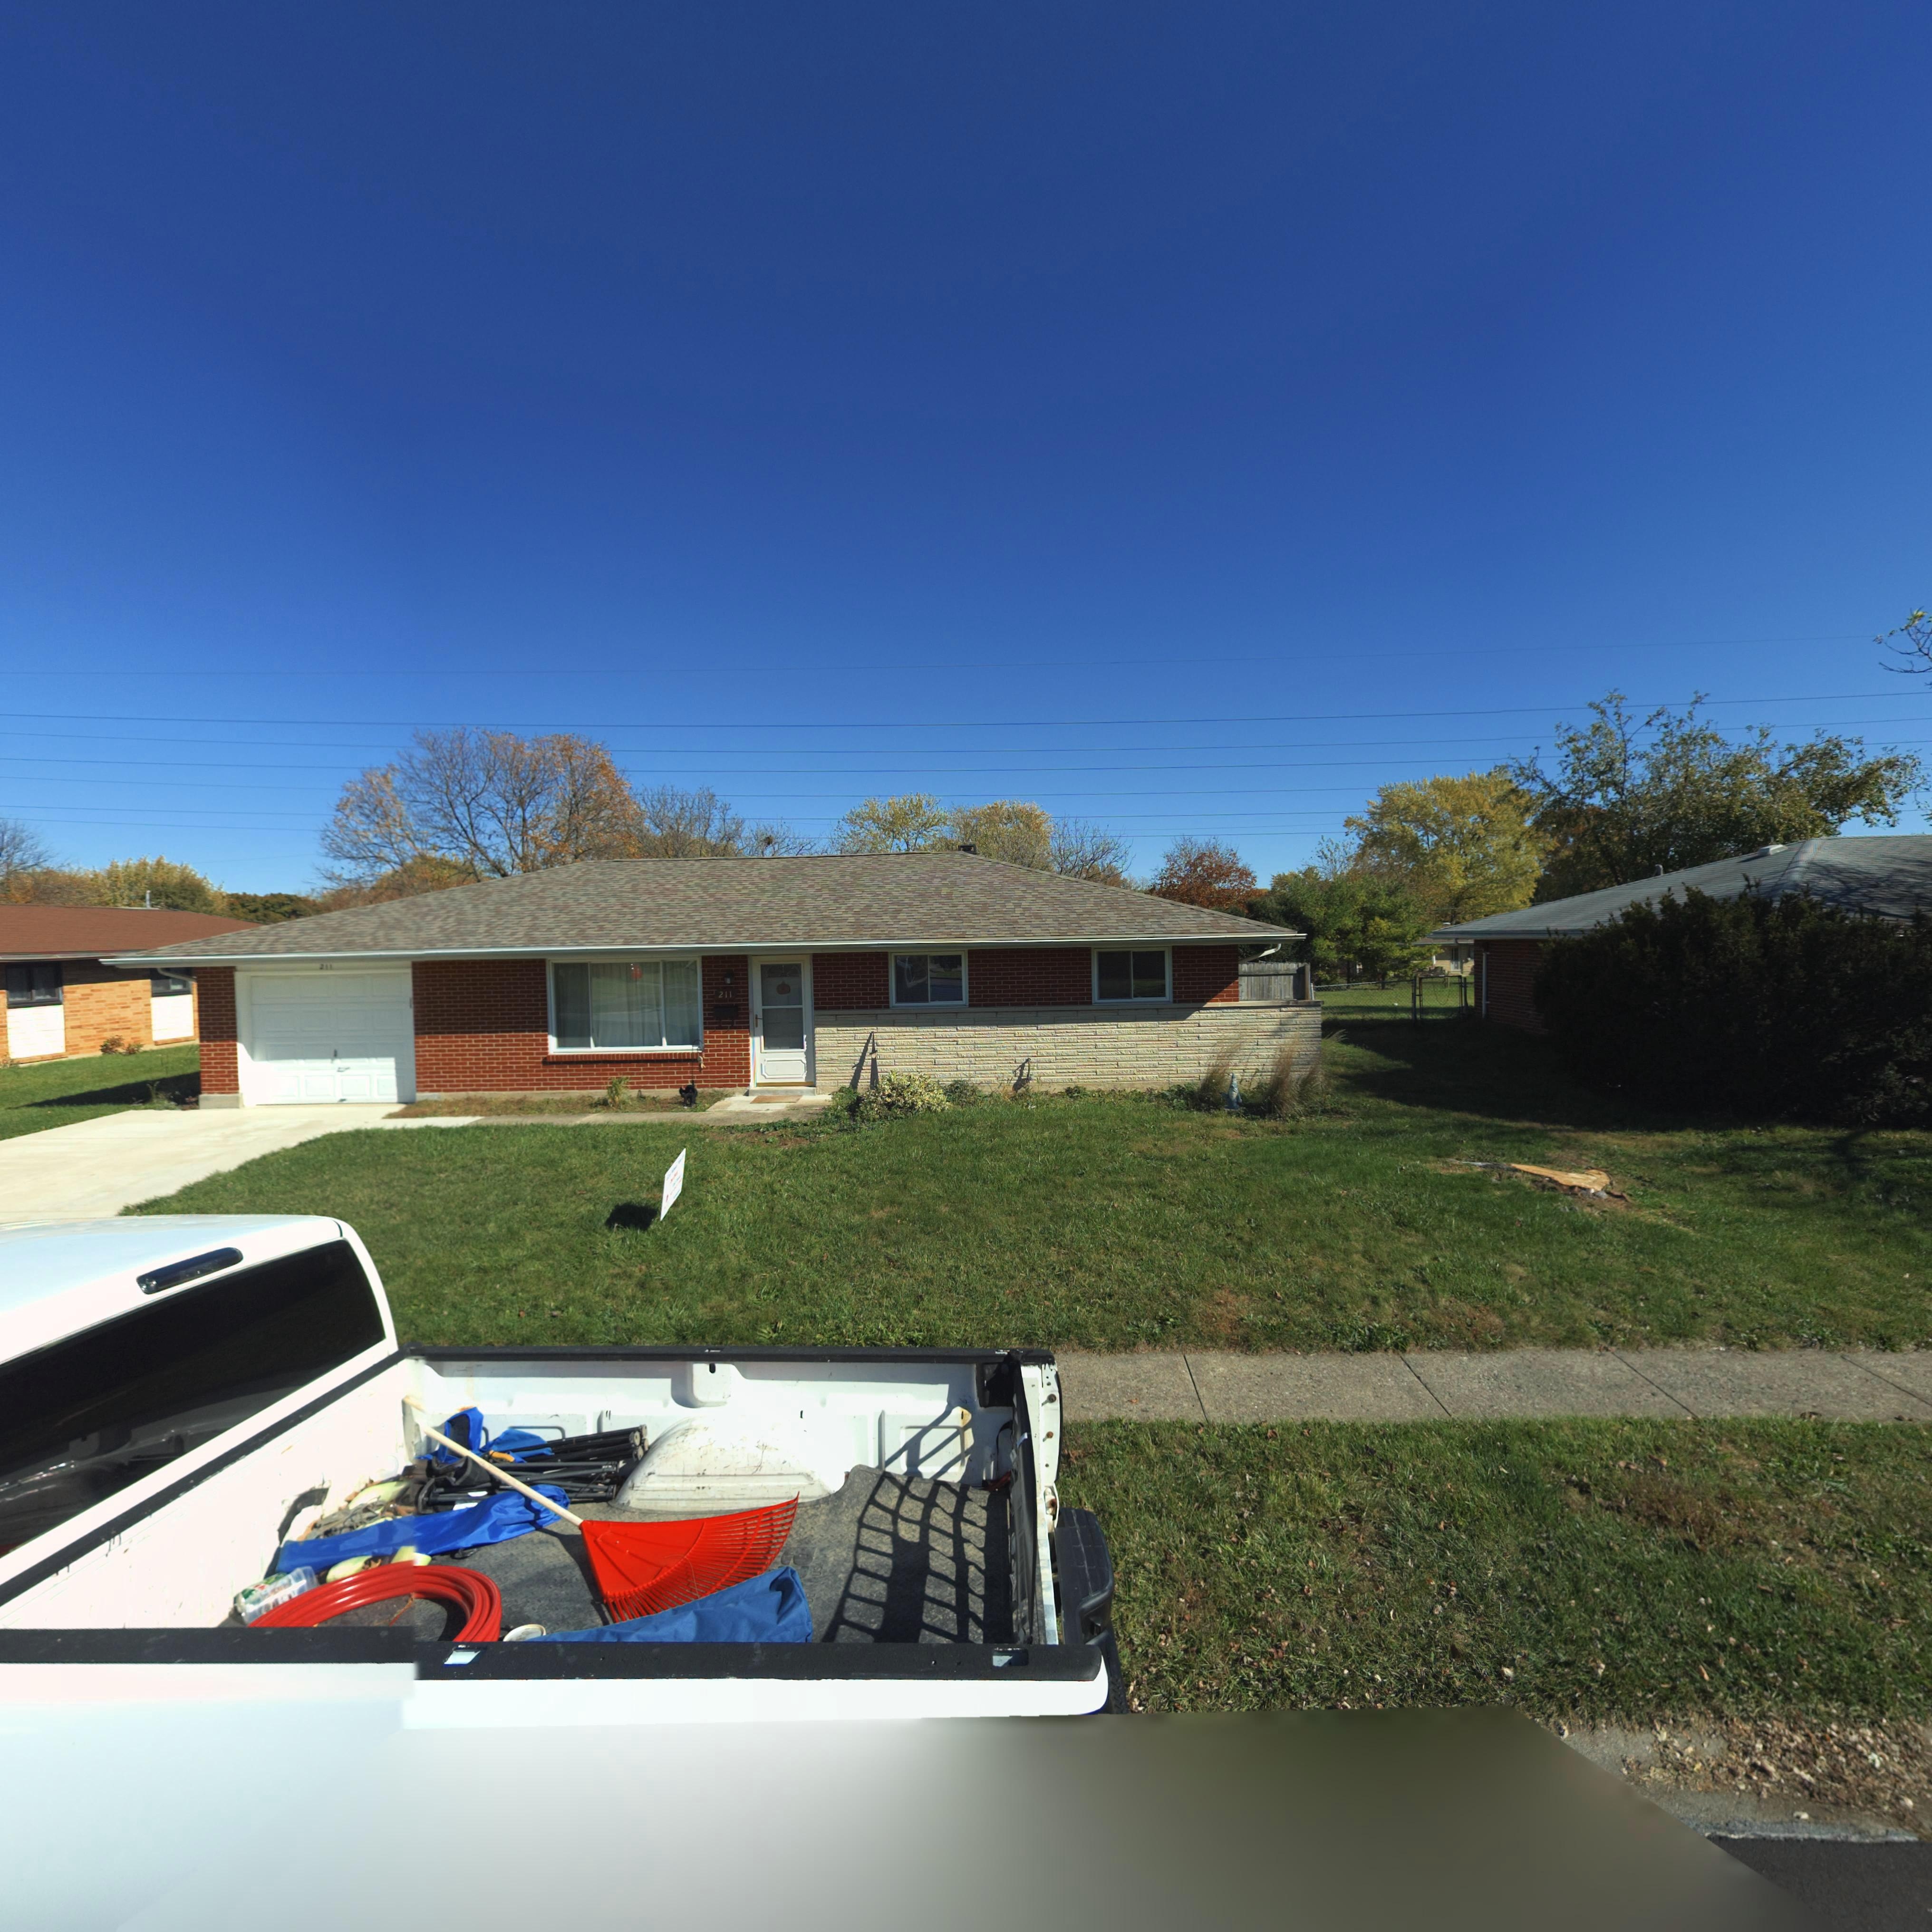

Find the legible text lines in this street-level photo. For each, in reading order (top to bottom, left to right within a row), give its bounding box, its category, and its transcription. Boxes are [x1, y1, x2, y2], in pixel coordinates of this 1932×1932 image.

[319, 963, 333, 971] StreetNumber: 211
[717, 990, 732, 998] StreetNumber: 211